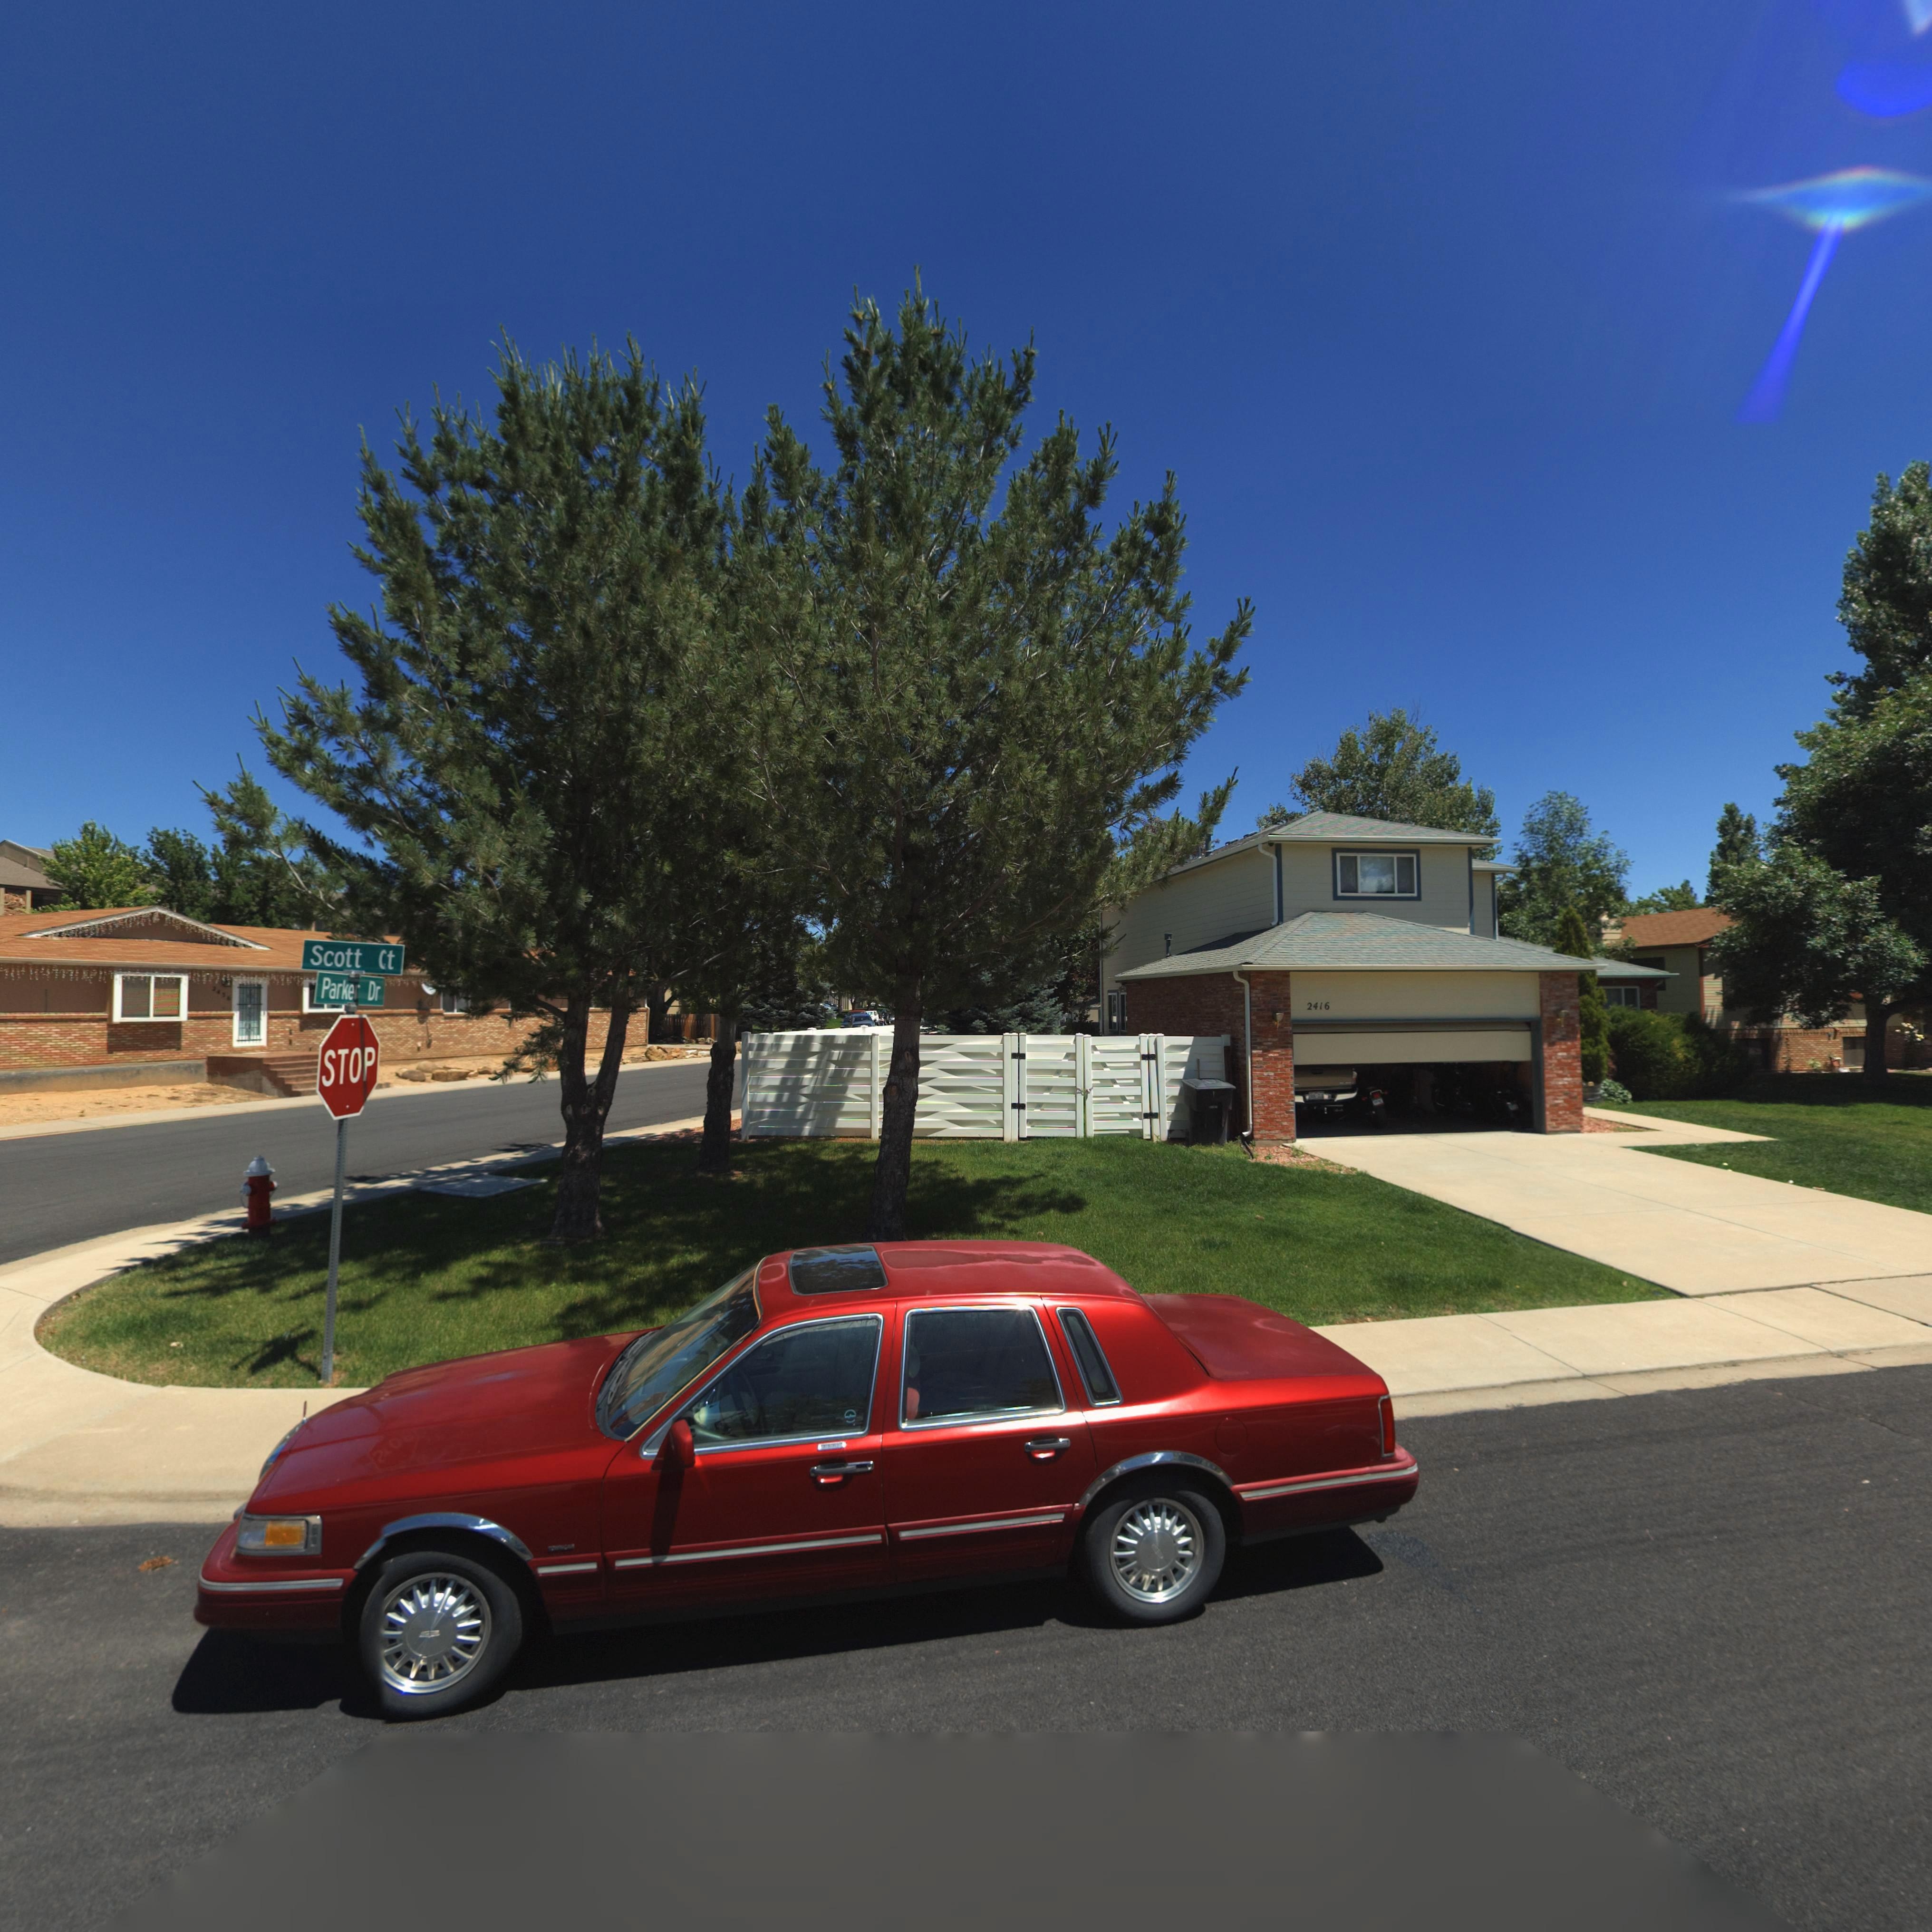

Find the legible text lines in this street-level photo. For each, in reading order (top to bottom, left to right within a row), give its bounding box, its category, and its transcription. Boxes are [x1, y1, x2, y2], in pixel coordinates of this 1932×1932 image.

[309, 944, 396, 970] StreetName: Scott Ct
[212, 985, 231, 1001] StreetNumber: 2436
[320, 976, 381, 1002] StreetName: Parker Dr
[1306, 1001, 1330, 1010] StreetNumber: 2416